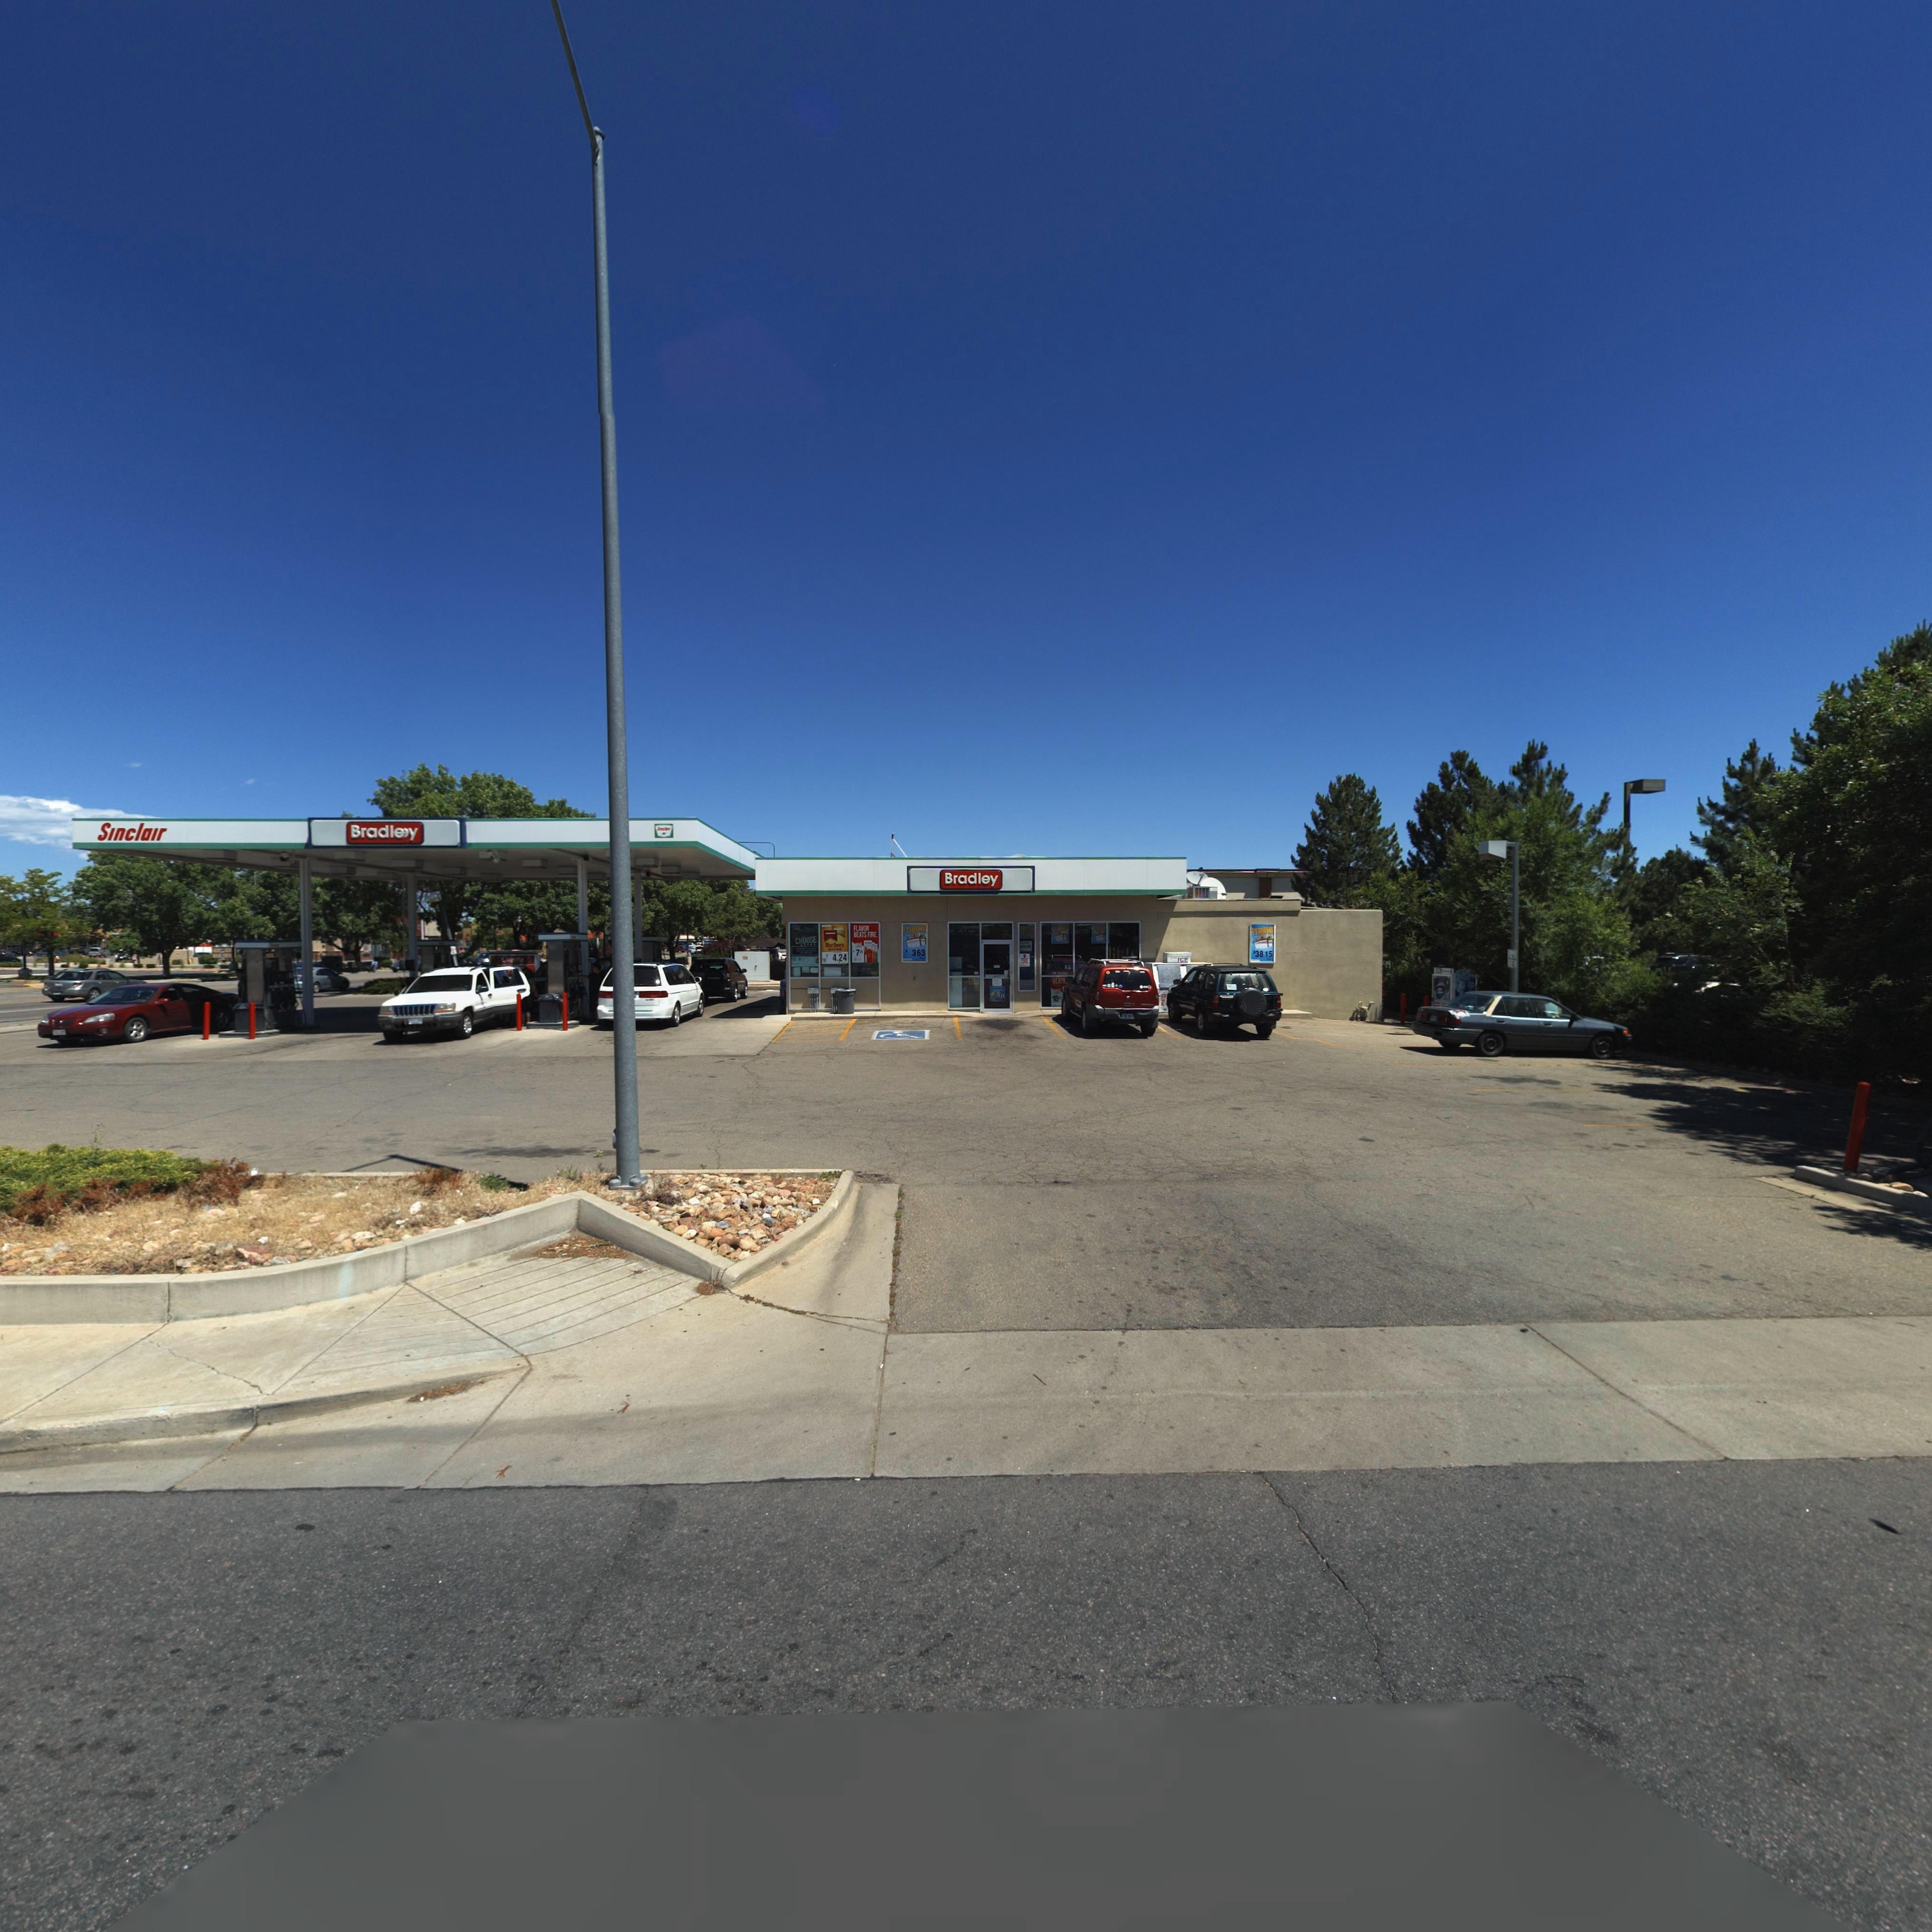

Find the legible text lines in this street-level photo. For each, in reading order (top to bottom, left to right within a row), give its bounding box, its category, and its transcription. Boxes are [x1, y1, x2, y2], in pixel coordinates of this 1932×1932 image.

[96, 822, 170, 841] BusinessName: Sinclair
[350, 824, 420, 841] BusinessName: Bradle*y
[944, 872, 999, 887] BusinessName: Bradley